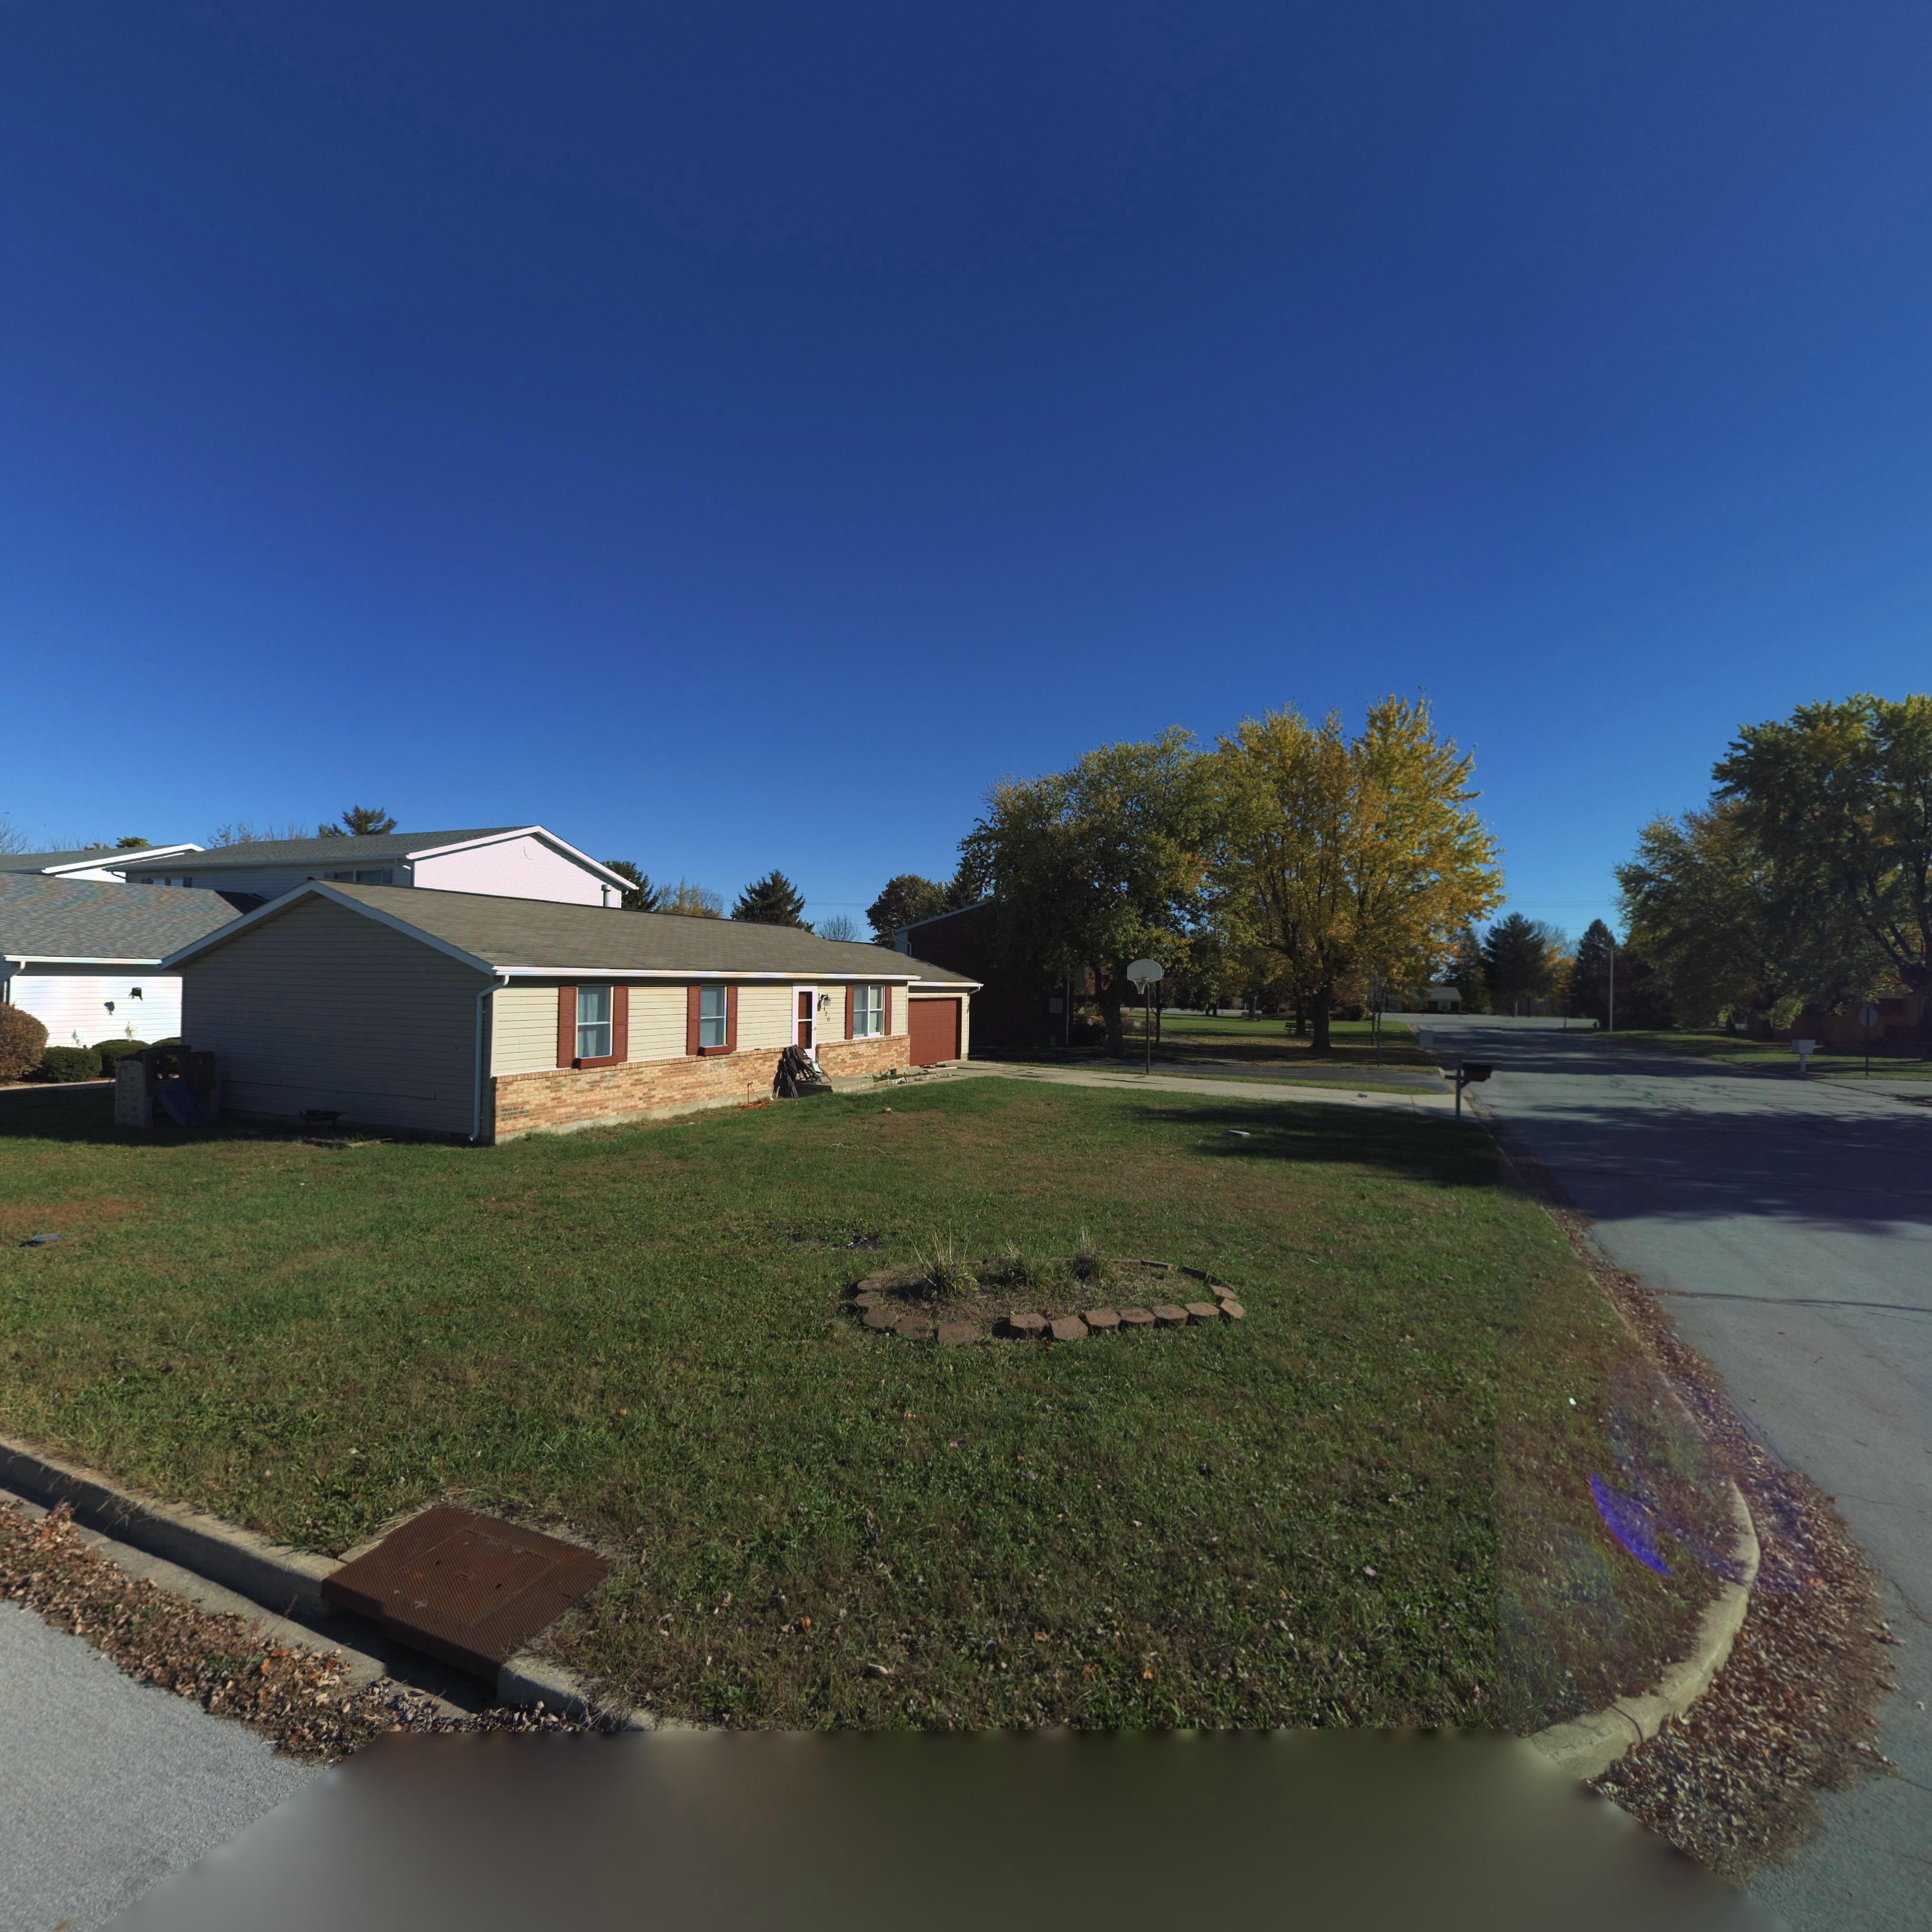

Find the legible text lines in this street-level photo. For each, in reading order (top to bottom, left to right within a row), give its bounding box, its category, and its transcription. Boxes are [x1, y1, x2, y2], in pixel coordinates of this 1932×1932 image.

[823, 1005, 831, 1022] StreetNumber: 120